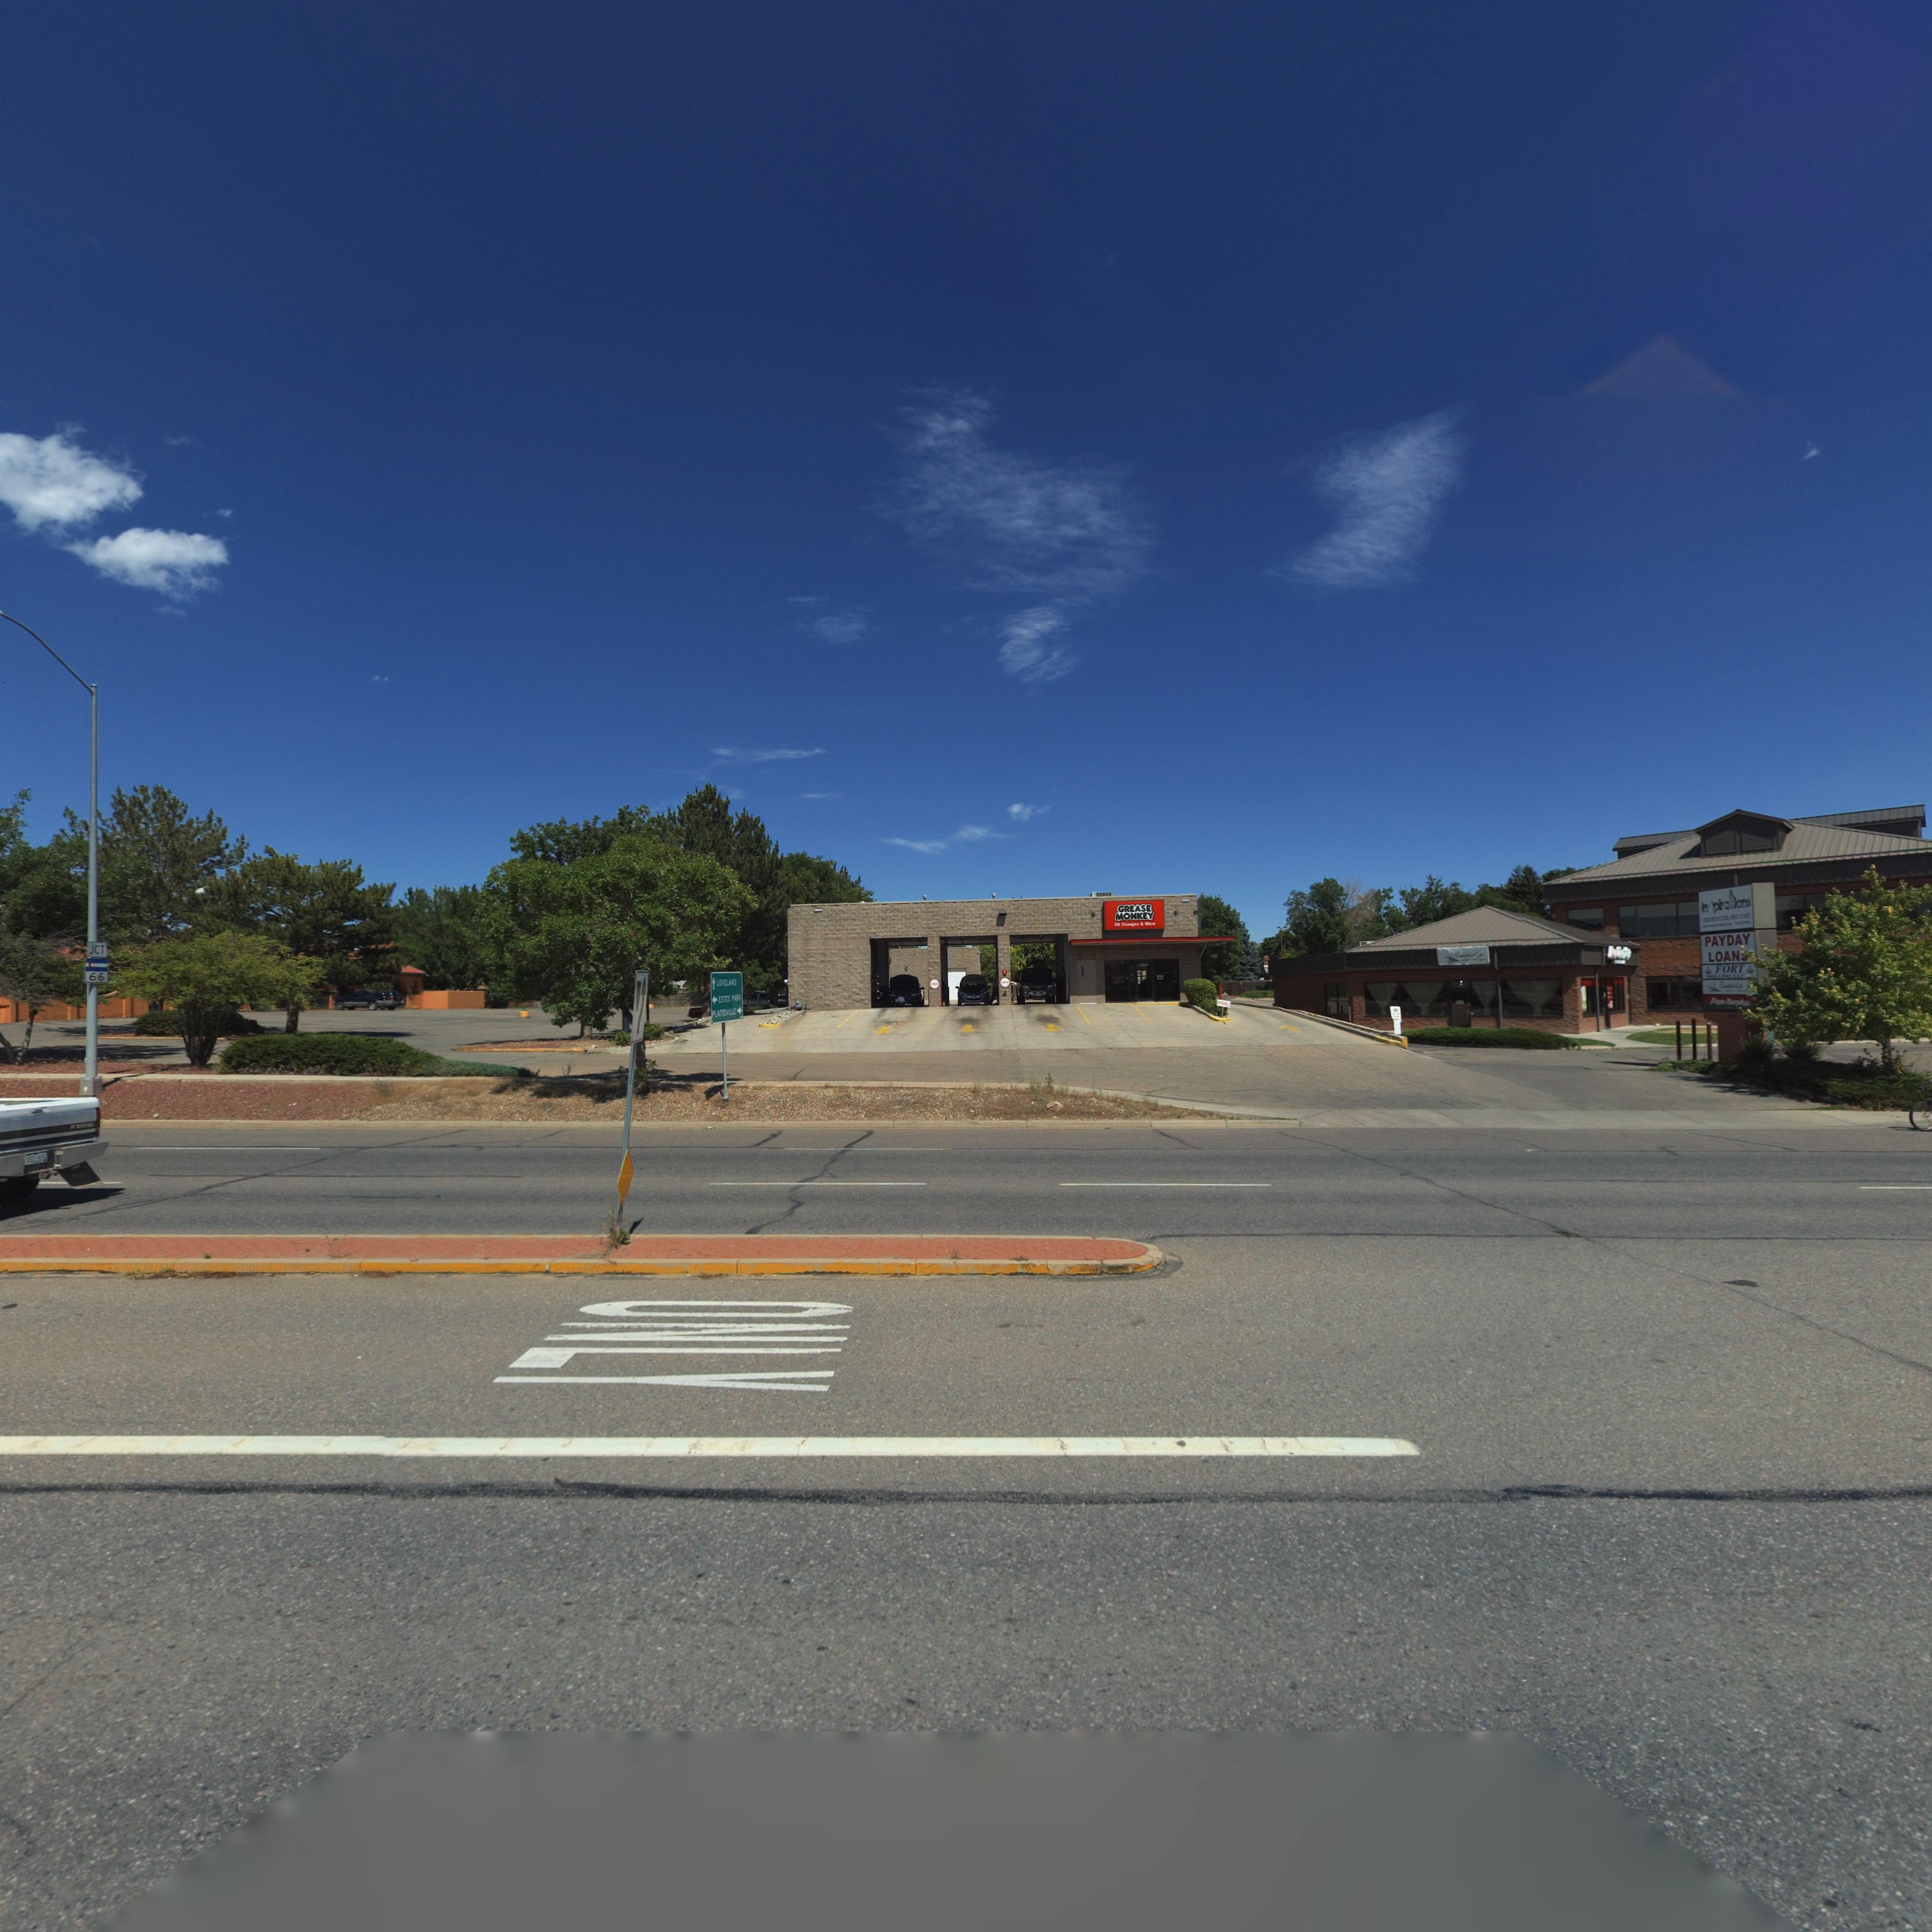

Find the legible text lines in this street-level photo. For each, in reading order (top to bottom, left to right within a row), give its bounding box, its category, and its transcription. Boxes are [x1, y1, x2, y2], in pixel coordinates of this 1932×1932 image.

[1700, 888, 1751, 915] BusinessName: in*pirations
[1117, 904, 1152, 912] BusinessName: GREASE
[1115, 911, 1154, 921] BusinessName: MONKEY
[1717, 915, 1729, 921] BusinessName: *OO*
[1454, 950, 1484, 957] BusinessName: E*****
[1715, 964, 1745, 973] BusinessName: FORT
[1733, 973, 1744, 979] BusinessName: LLC
[1719, 980, 1743, 988] BusinessName: Ecc**s
[1709, 996, 1750, 1006] BusinessName: P*p* M*rp**'s